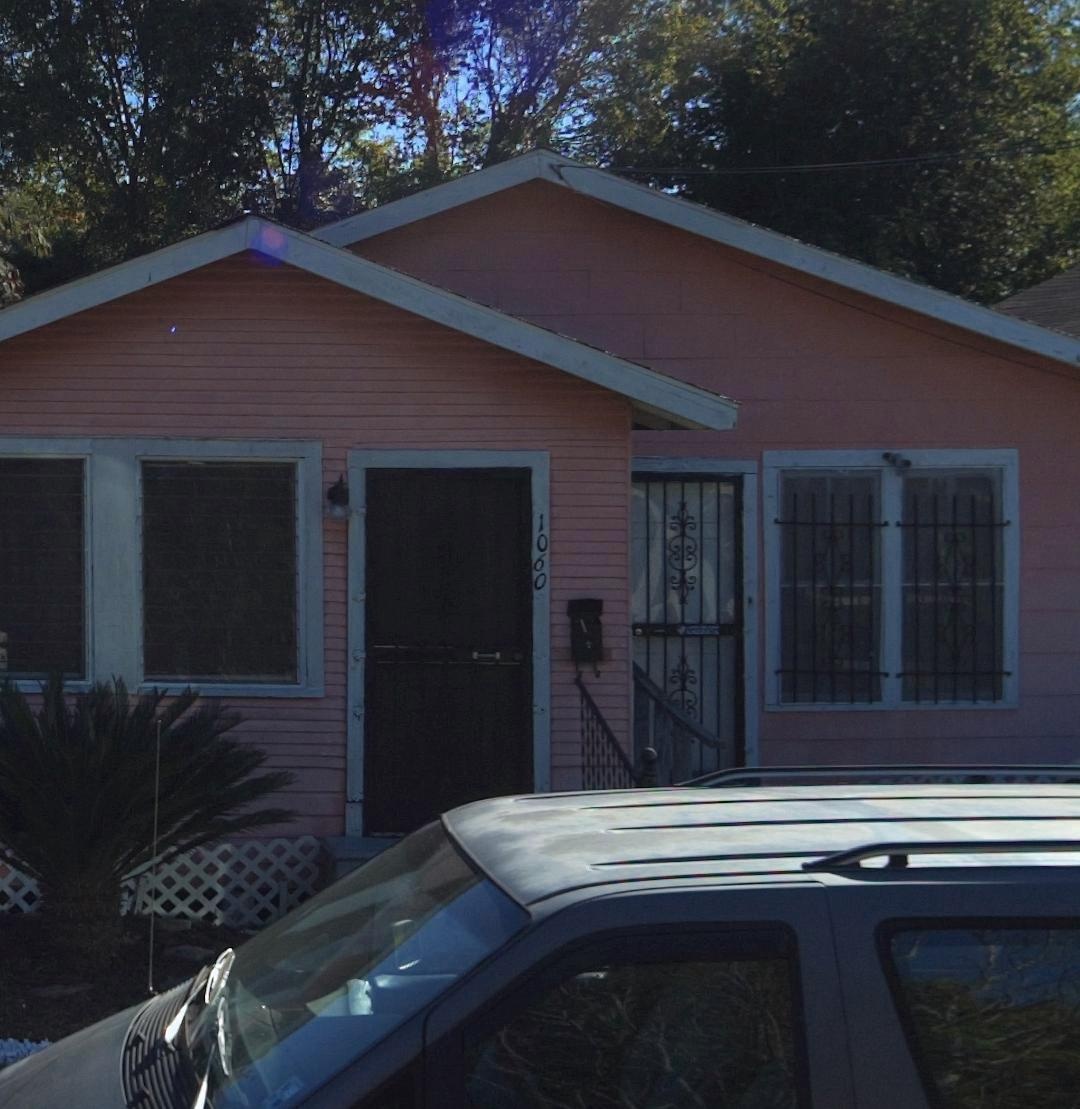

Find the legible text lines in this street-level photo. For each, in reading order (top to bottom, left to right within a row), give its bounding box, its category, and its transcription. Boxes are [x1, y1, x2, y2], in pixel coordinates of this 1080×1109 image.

[530, 511, 550, 593] StreetNumber: 1060